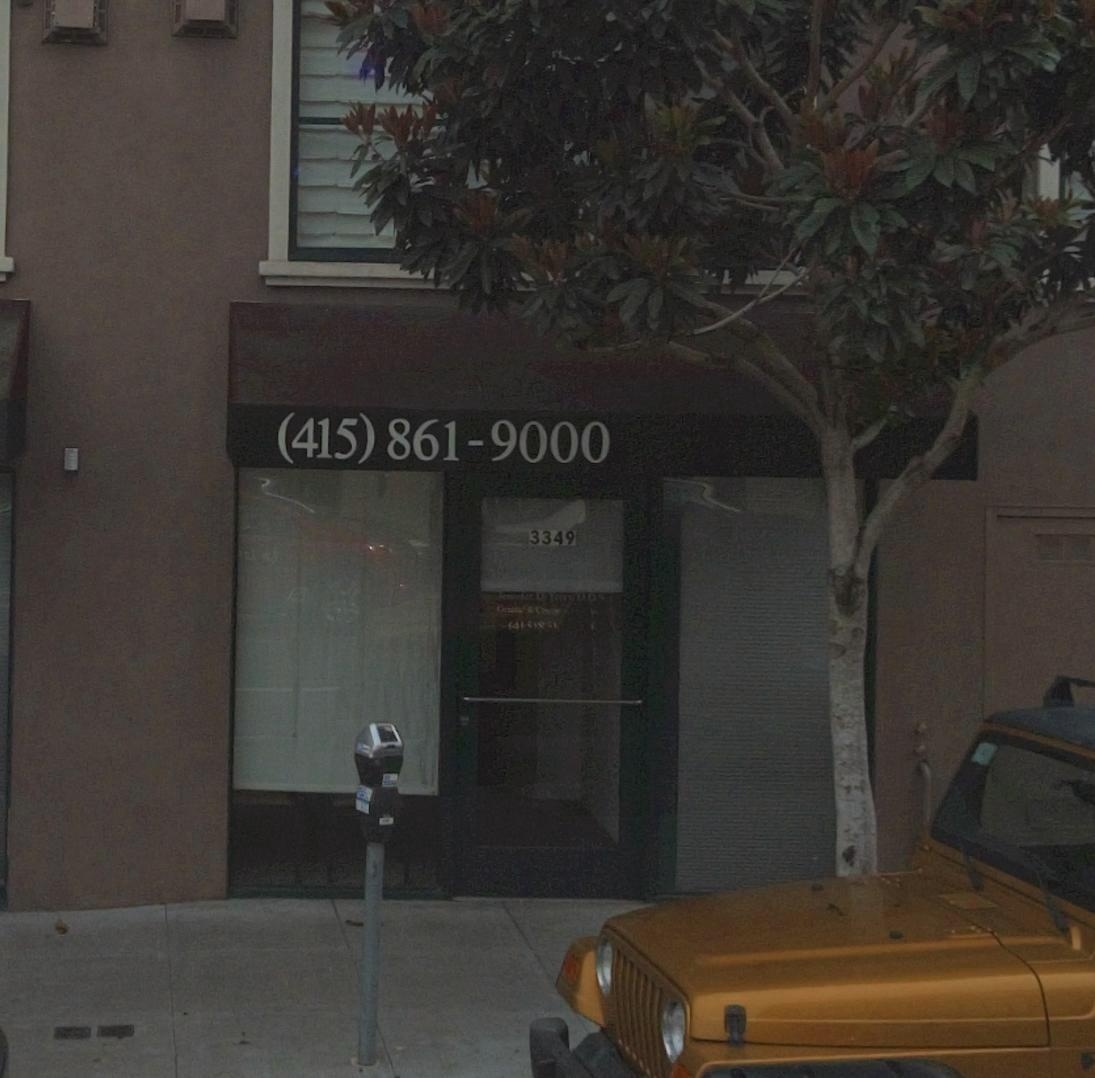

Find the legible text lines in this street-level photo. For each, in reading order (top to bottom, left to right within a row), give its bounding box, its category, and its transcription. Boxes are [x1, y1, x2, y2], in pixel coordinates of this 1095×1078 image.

[276, 410, 611, 466] None: (415)861-9000
[529, 529, 577, 547] StreetNumber: 3349